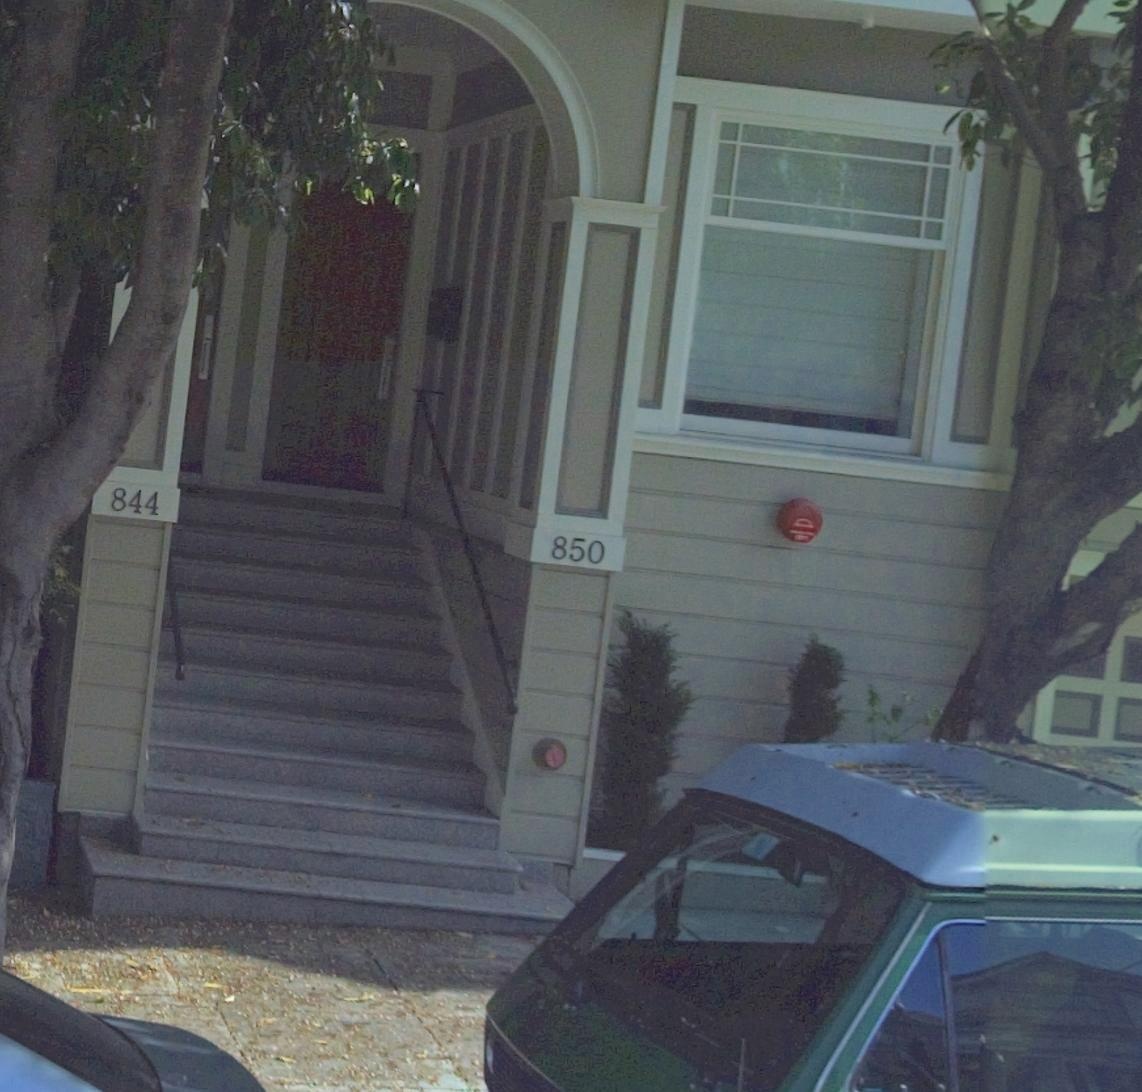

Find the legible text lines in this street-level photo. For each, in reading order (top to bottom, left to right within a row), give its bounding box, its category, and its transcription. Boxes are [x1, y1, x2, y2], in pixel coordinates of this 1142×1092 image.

[108, 485, 163, 519] StreetNumber: 844
[549, 532, 608, 568] StreetNumber: 850